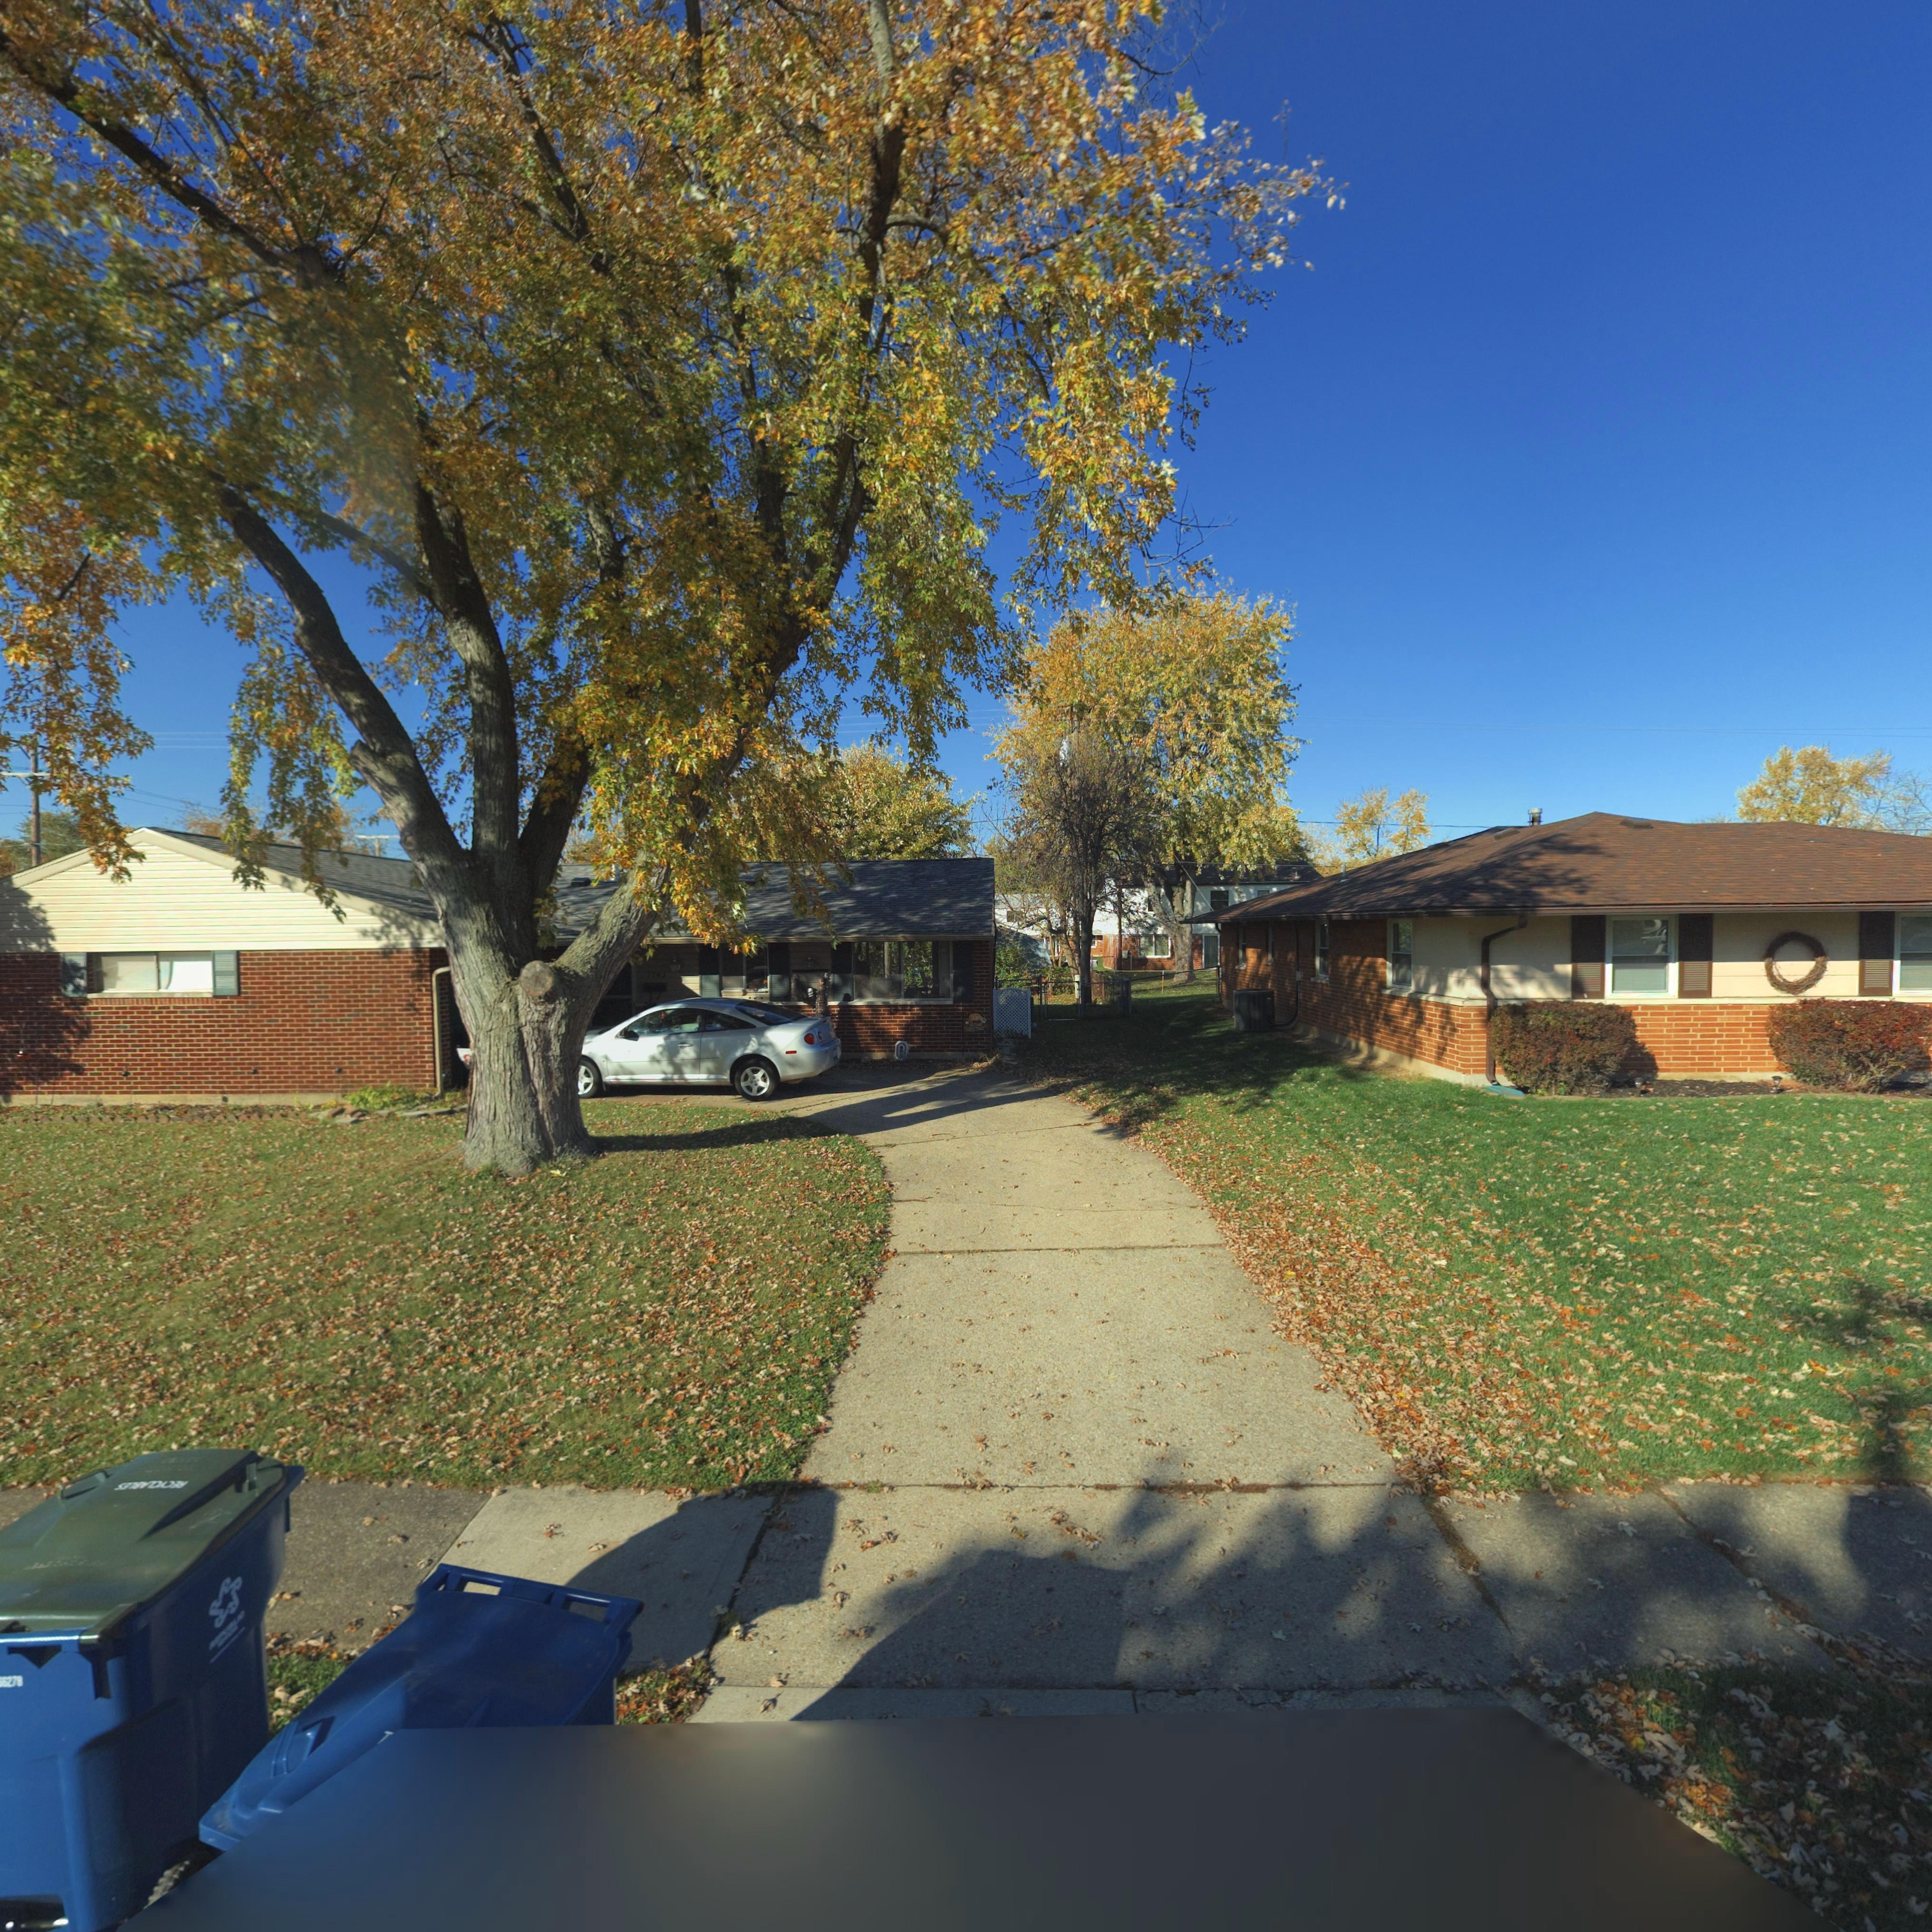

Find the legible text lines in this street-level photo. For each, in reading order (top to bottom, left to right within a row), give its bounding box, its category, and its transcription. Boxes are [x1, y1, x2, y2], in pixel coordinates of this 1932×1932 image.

[646, 971, 667, 978] StreetNumber: 7743